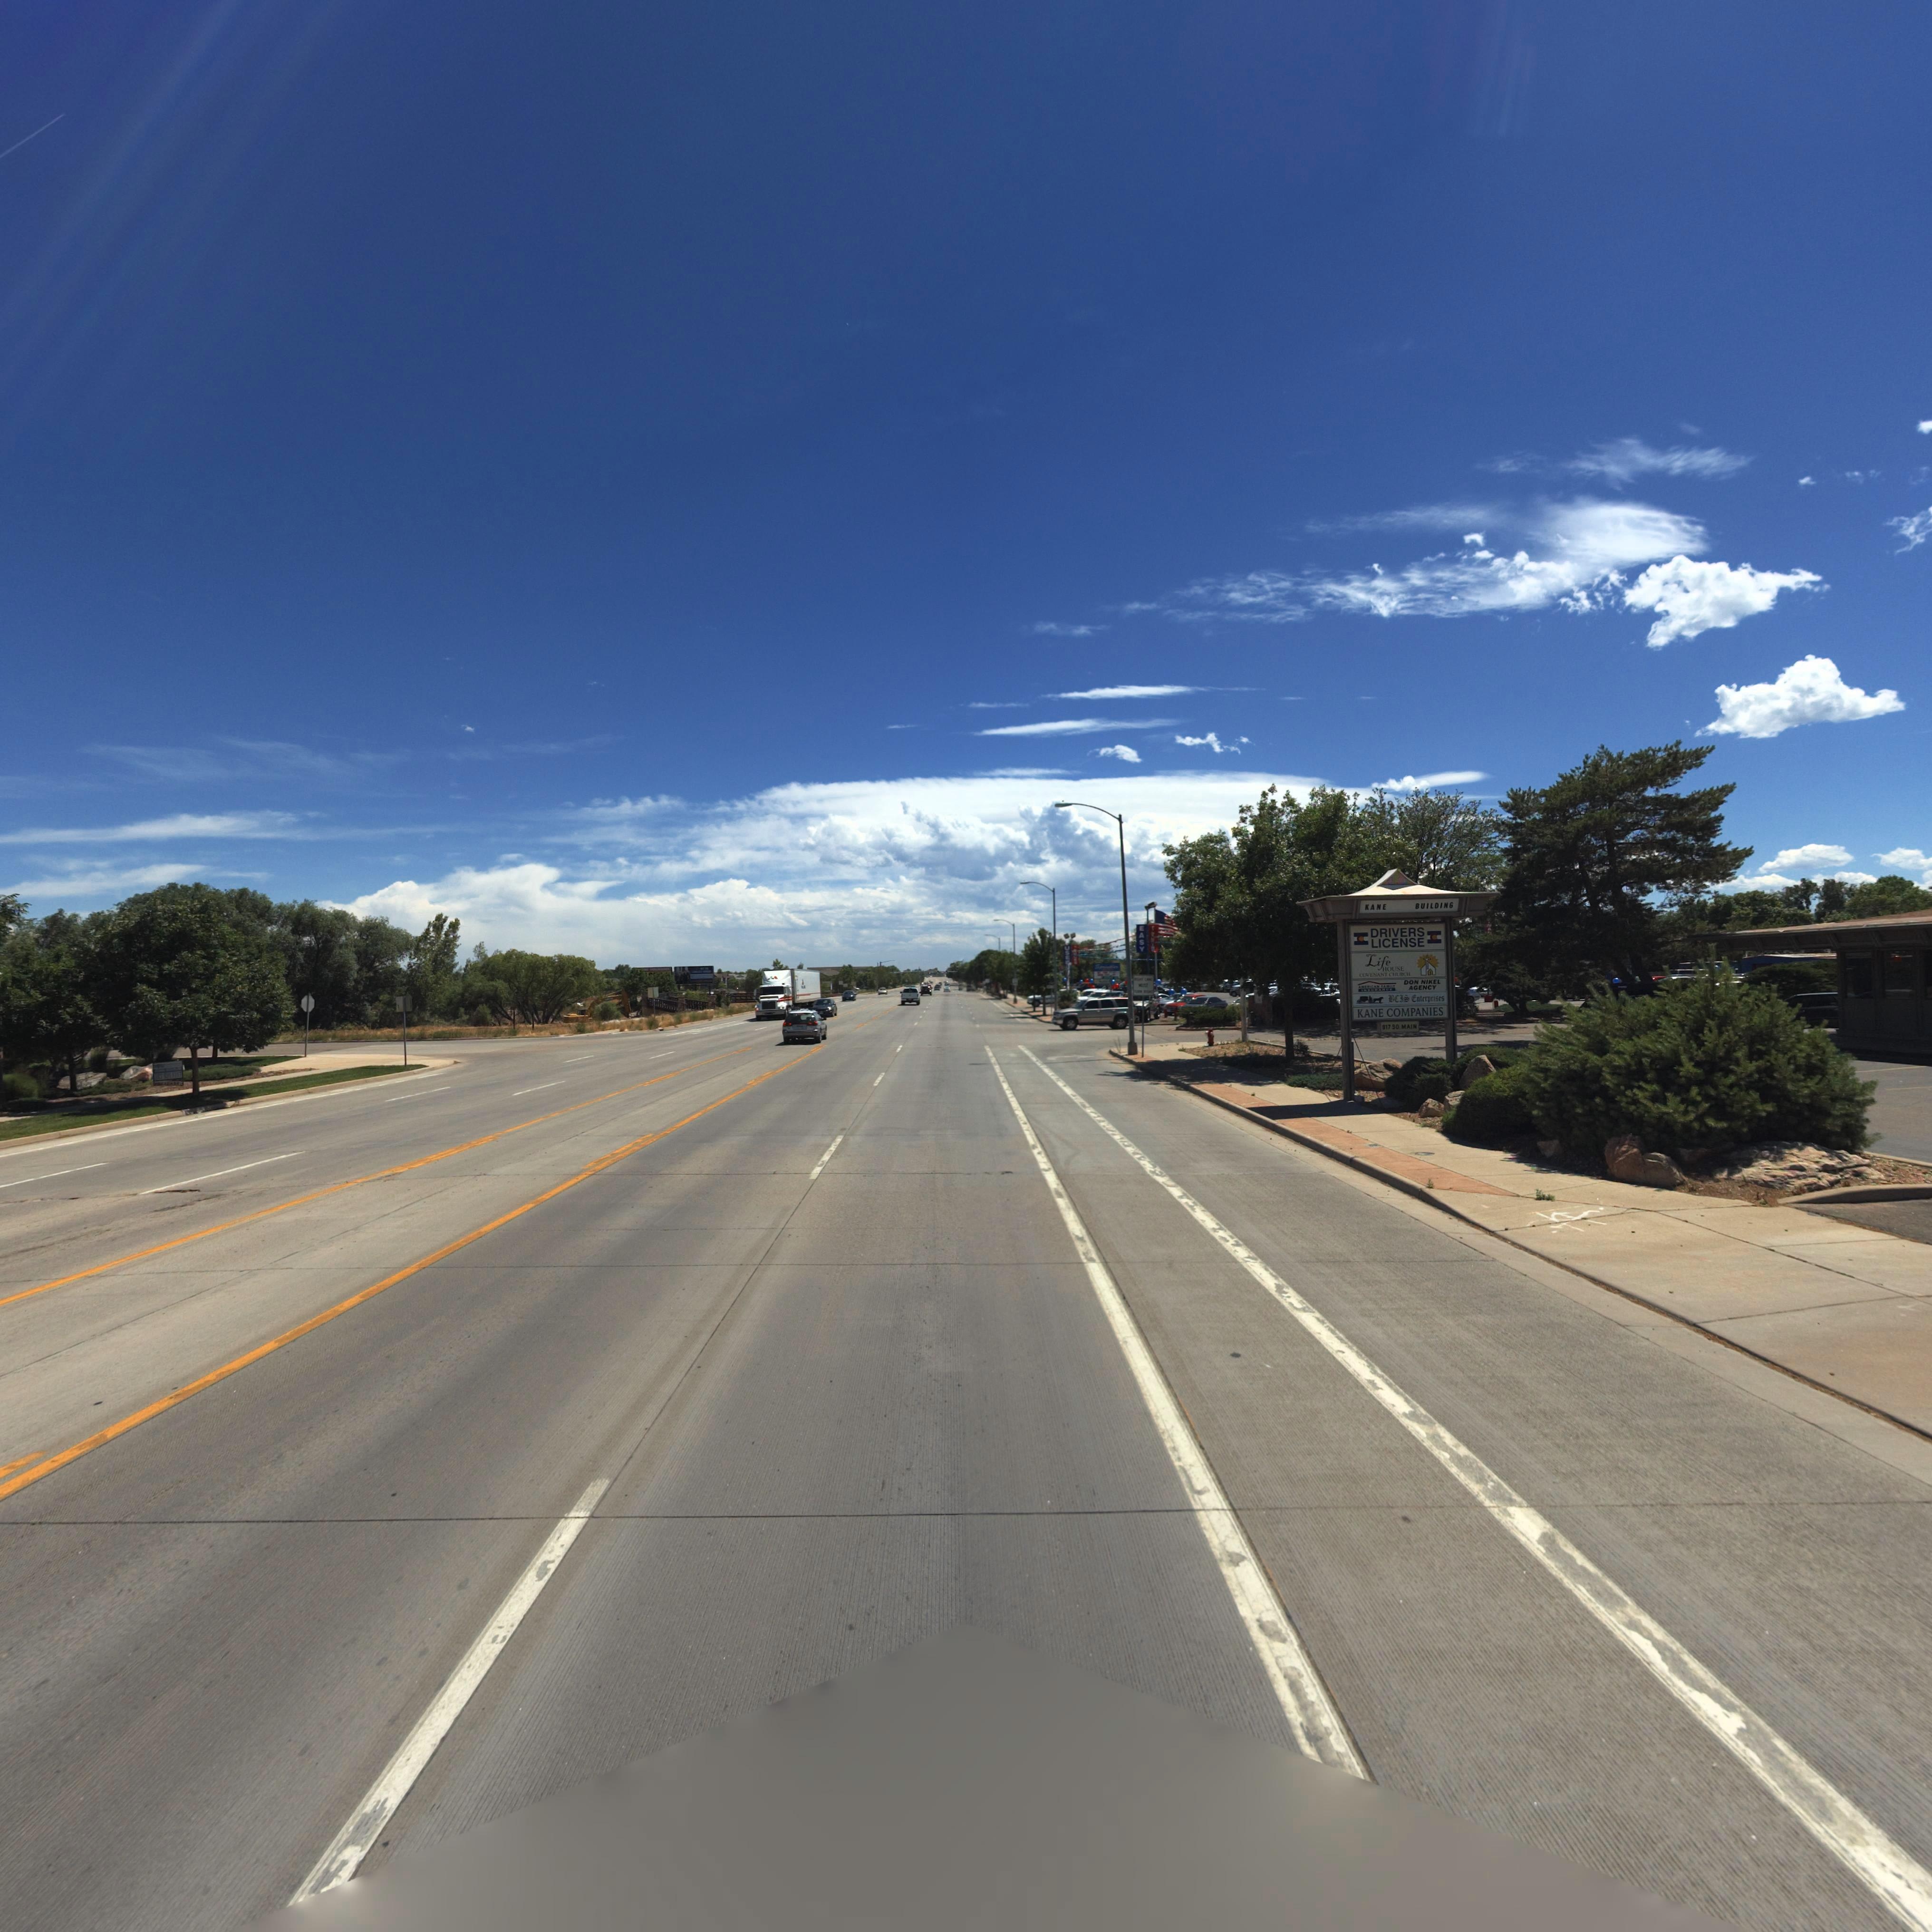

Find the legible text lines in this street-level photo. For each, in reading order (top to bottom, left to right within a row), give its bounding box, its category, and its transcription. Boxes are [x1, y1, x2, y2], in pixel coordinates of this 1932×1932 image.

[1364, 953, 1391, 971] BusinessName: Life
[1094, 963, 1118, 970] BusinessName: Sp****kle*
[1382, 966, 1404, 972] BusinessName: HOUSE
[1359, 971, 1410, 977] BusinessName: COV*NANT CHURCH
[1358, 985, 1395, 988] BusinessName: AME*IC*N *AMI**
[1361, 988, 1393, 992] BusinessName: IN*URAN**
[1388, 994, 1445, 1003] BusinessName: *CIS Enterprises
[1357, 1006, 1443, 1018] BusinessName: KANE COMPANIES
[1381, 1024, 1391, 1030] StreetNumber: 917
[1391, 1024, 1417, 1029] StreetName: SO. MAIN